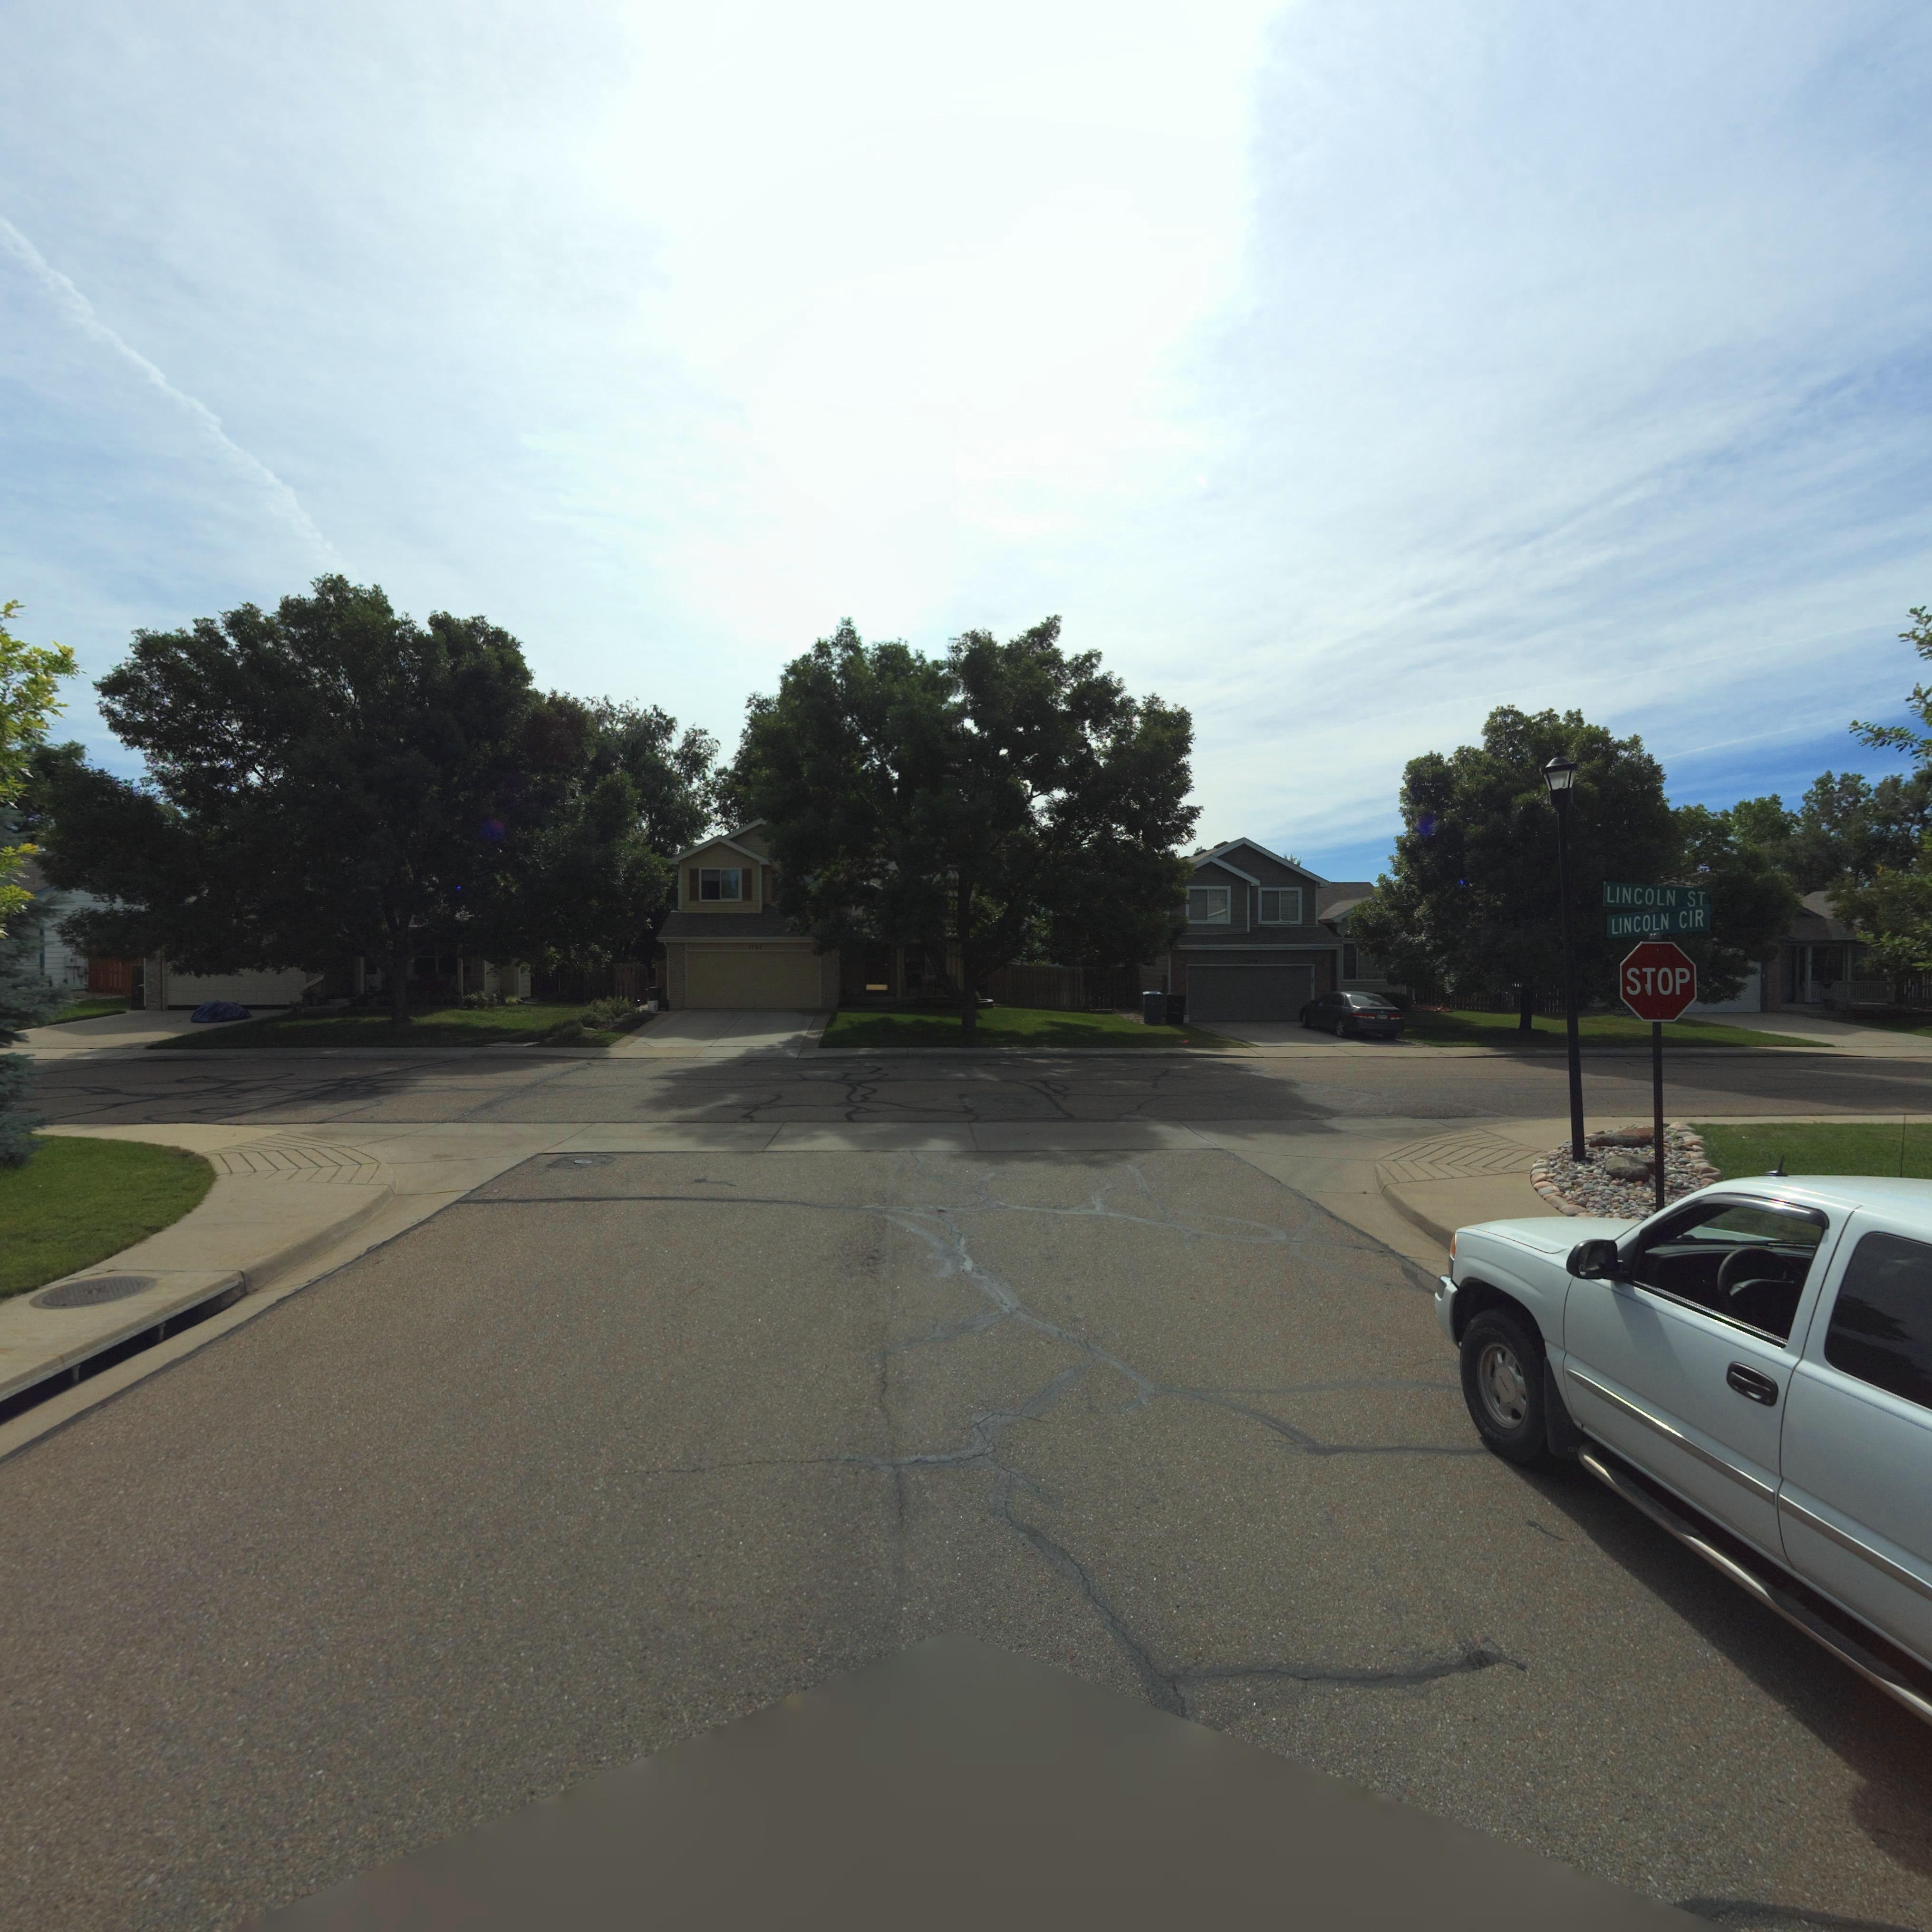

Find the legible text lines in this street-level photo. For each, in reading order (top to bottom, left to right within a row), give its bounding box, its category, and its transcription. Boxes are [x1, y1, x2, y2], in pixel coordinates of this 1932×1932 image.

[1606, 885, 1706, 907] StreetName: LINCOLN ST
[1611, 908, 1704, 935] StreetName: LINCOLN CIR
[747, 944, 762, 949] StreetNumber: 1762
[1245, 959, 1258, 964] StreetNumber: 1*7*